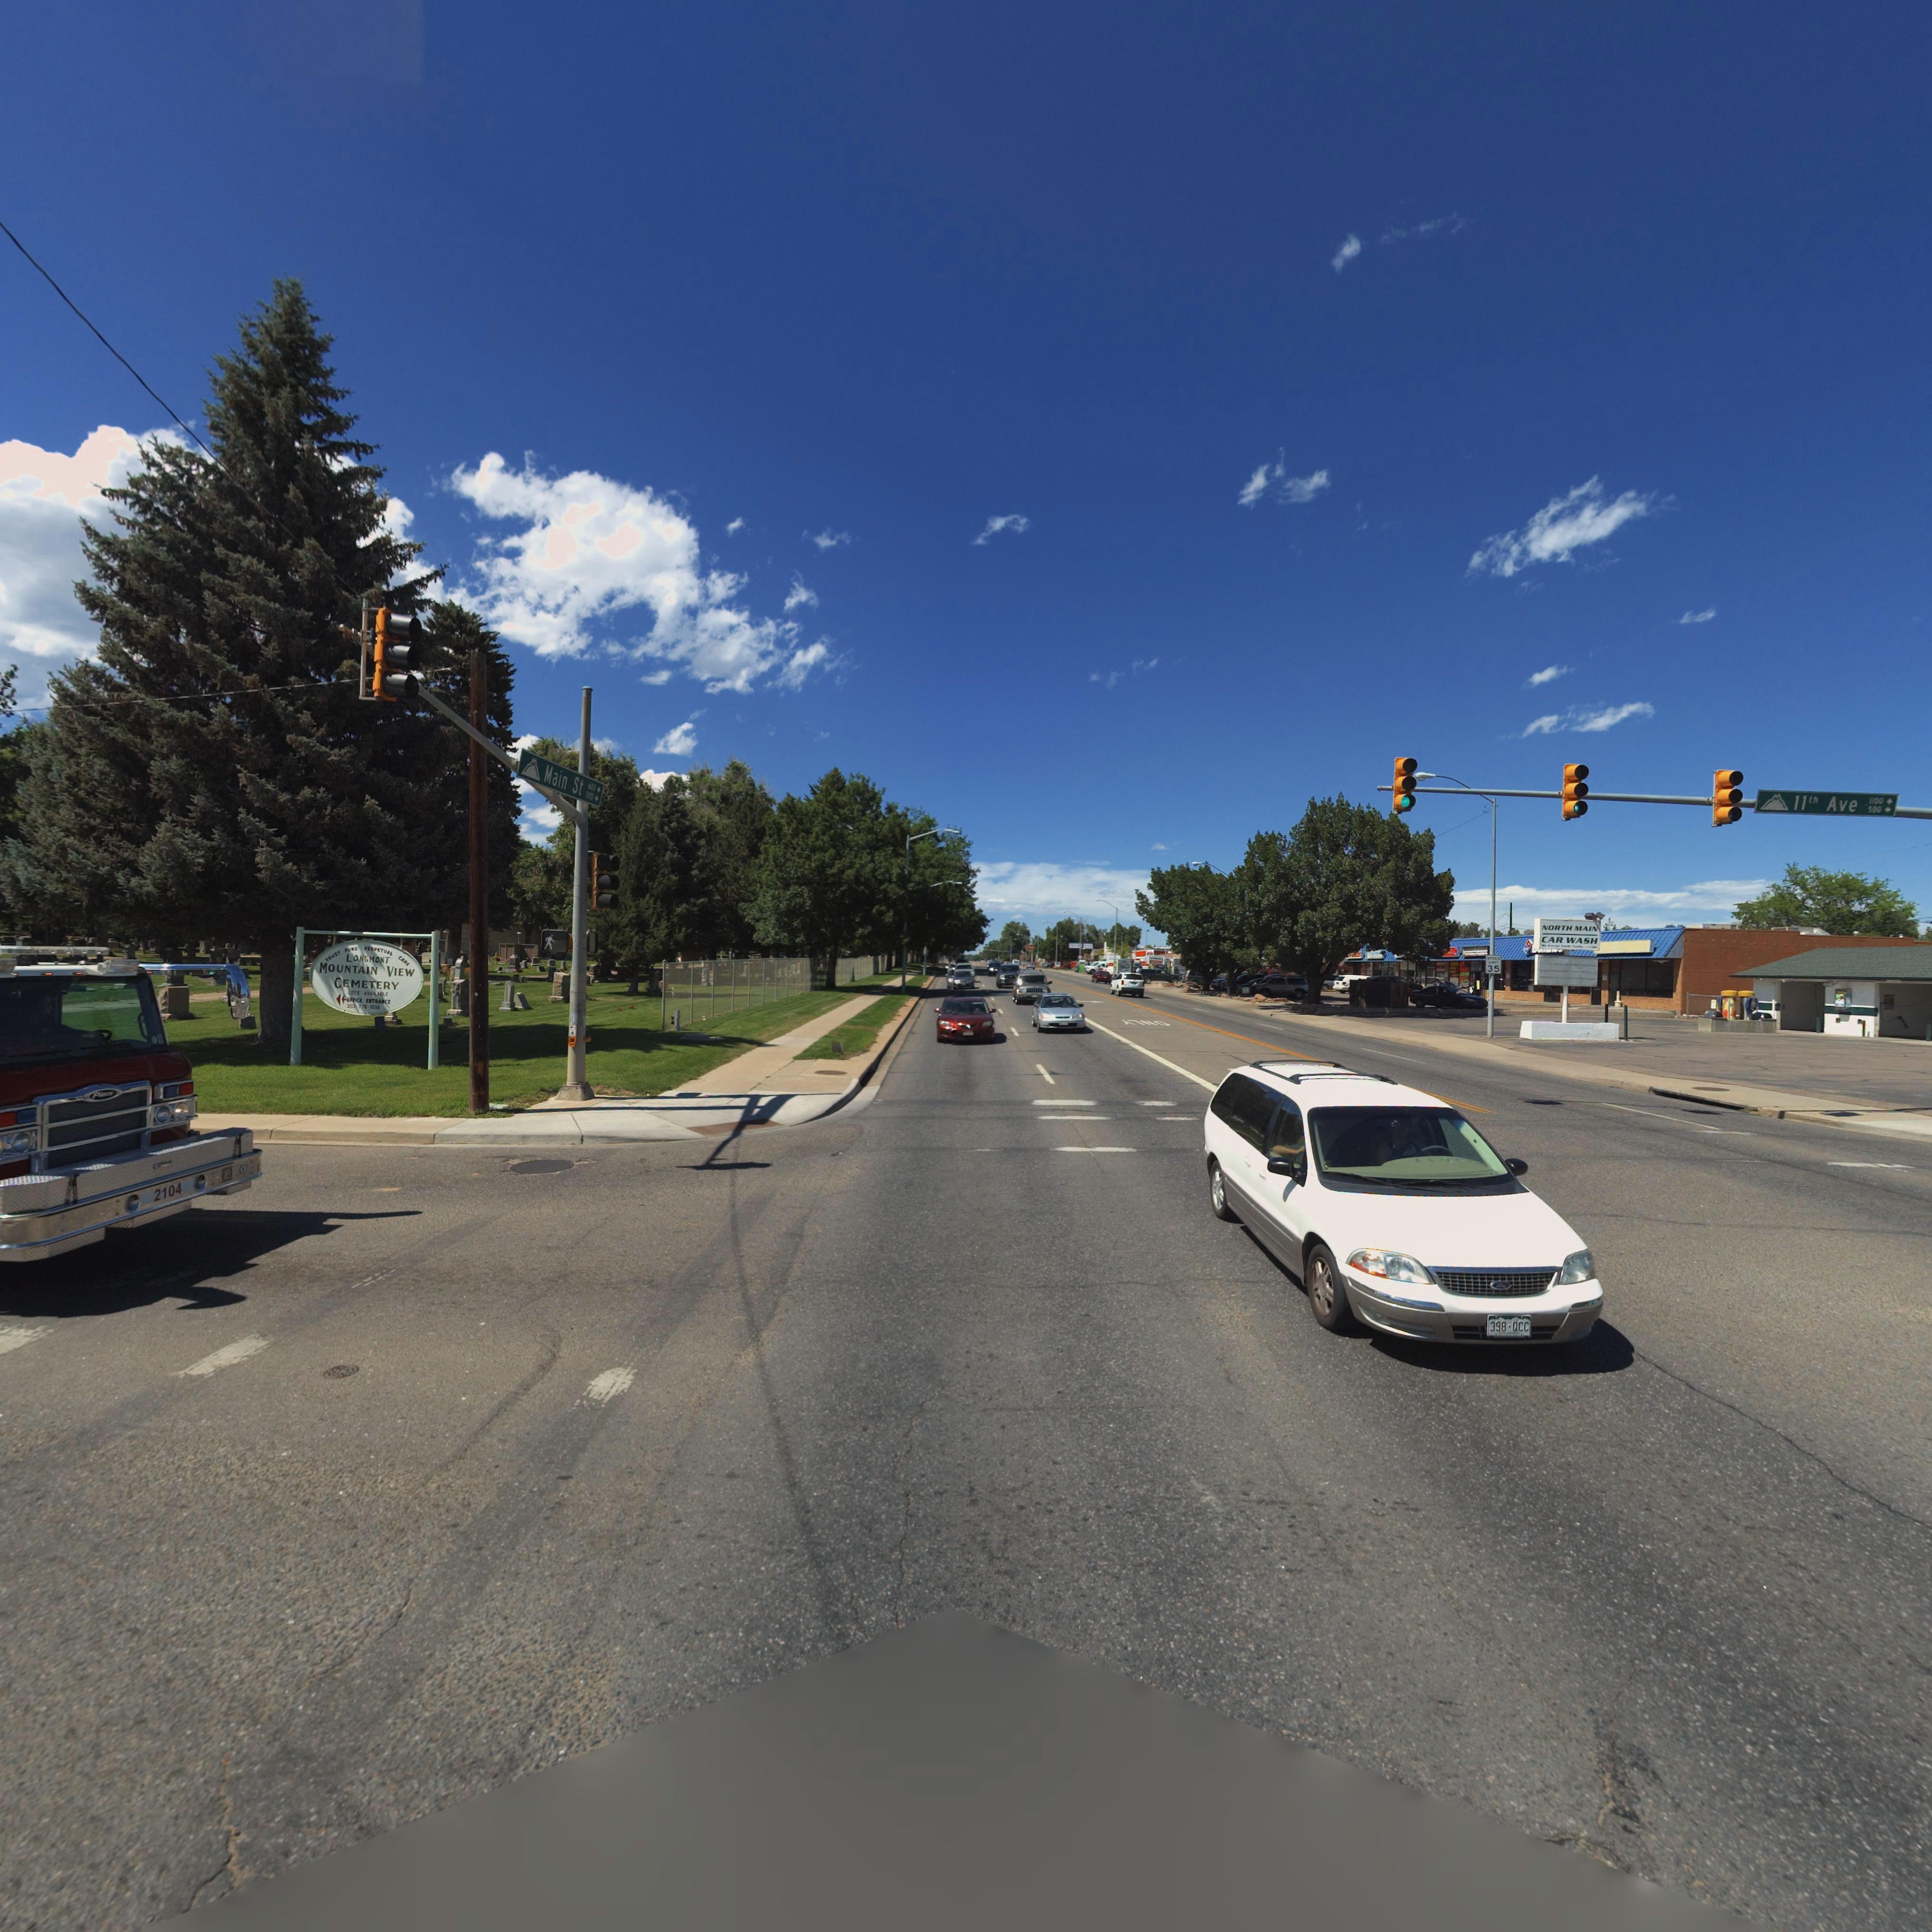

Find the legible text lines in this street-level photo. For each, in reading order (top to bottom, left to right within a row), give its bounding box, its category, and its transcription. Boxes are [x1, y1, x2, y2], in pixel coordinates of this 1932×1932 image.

[543, 763, 584, 796] StreetName: Main St
[588, 782, 597, 792] StreetNumberRange: 600
[585, 790, 599, 803] StreetNumberRange: 1100 ->
[1793, 794, 1858, 812] StreetName: 11th Ave
[1868, 797, 1884, 804] StreetNumberRange: 1*00
[1867, 805, 1891, 813] StreetNumberRange: 500 ->
[1541, 924, 1599, 932] BusinessName: NORTH MAIN
[1541, 936, 1598, 944] BusinessName: CAR WASH
[346, 953, 391, 964] BusinessName: LONGMONT
[319, 962, 415, 977] BusinessName: MOUNTAIN VIEW
[334, 976, 400, 990] BusinessName: CEMETERY